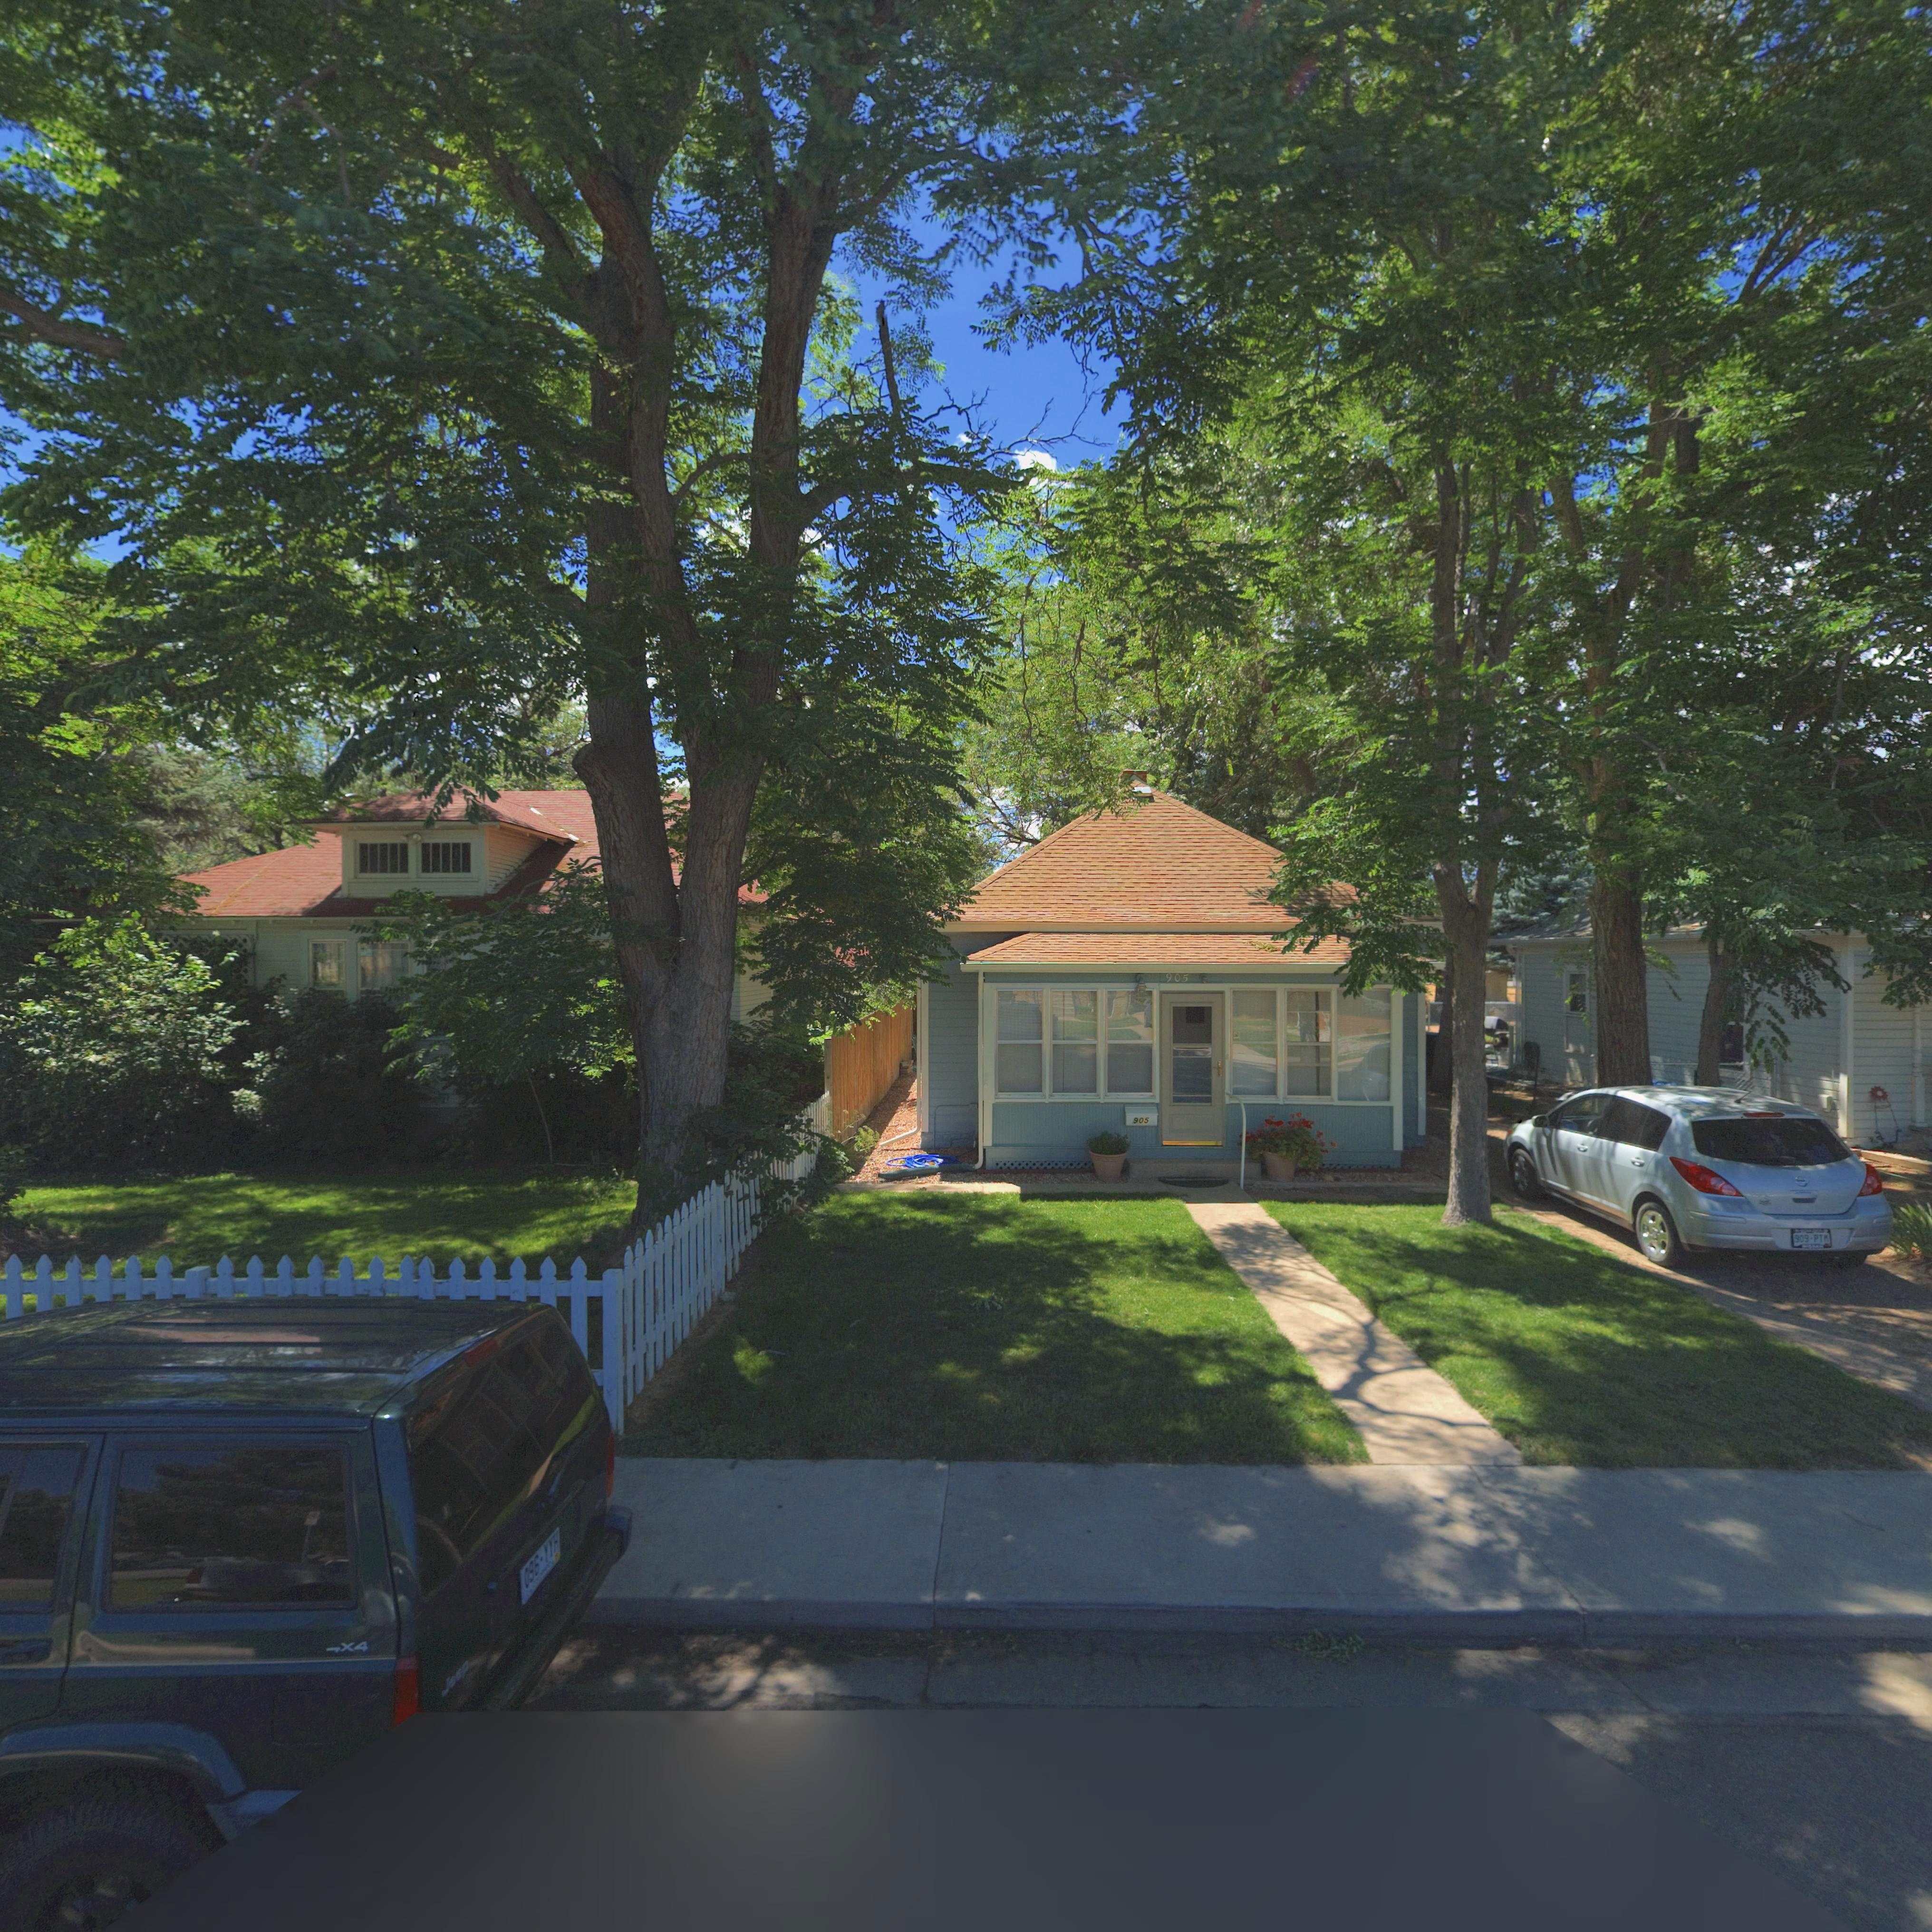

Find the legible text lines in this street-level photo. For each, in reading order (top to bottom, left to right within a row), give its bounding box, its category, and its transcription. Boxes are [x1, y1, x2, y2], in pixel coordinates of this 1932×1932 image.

[1165, 973, 1189, 983] StreetNumber: 905
[1132, 1117, 1150, 1123] StreetNumber: 905